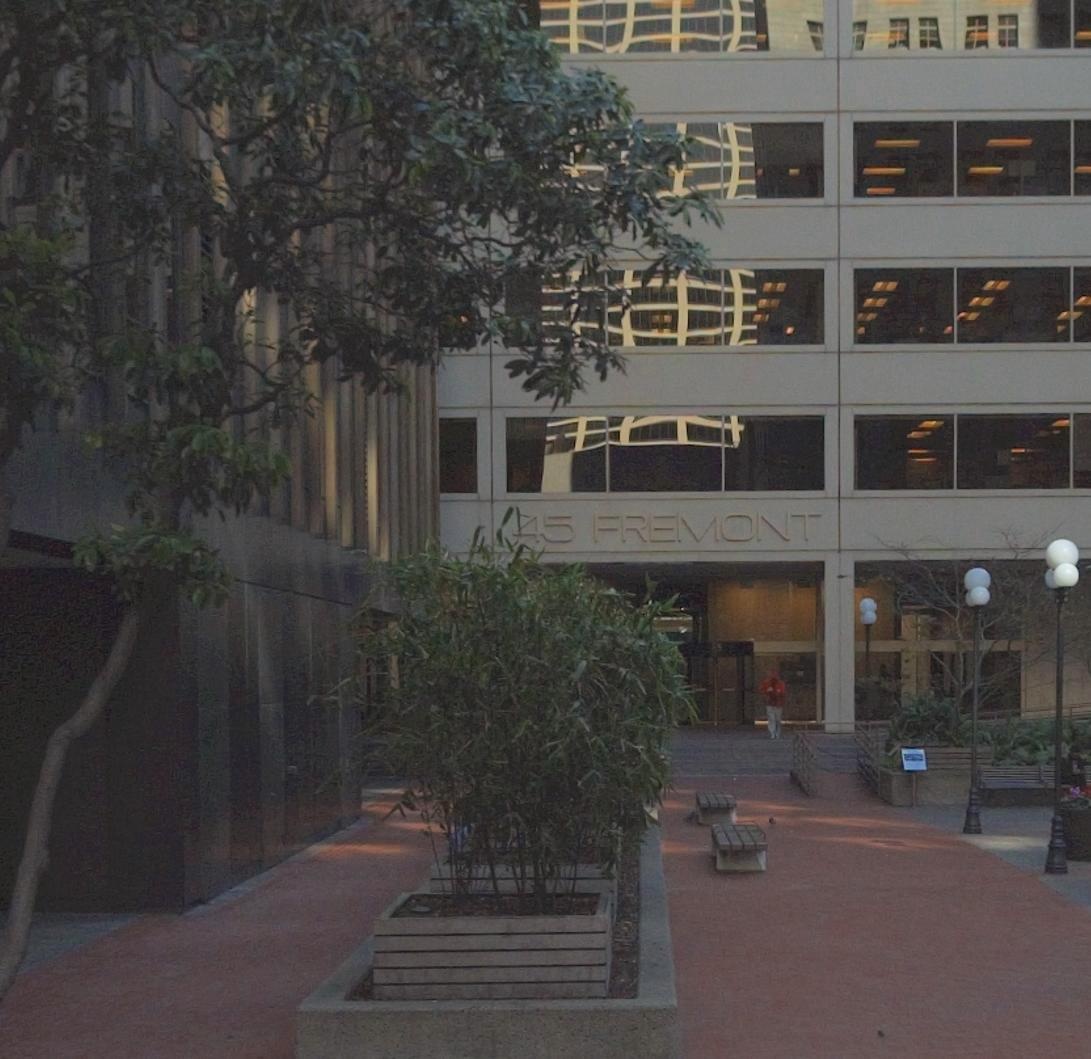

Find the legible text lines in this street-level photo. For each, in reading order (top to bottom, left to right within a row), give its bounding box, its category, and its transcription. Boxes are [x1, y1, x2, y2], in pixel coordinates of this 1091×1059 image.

[511, 514, 578, 544] StreetNumber: 45
[593, 512, 823, 544] StreetName: FREMONT